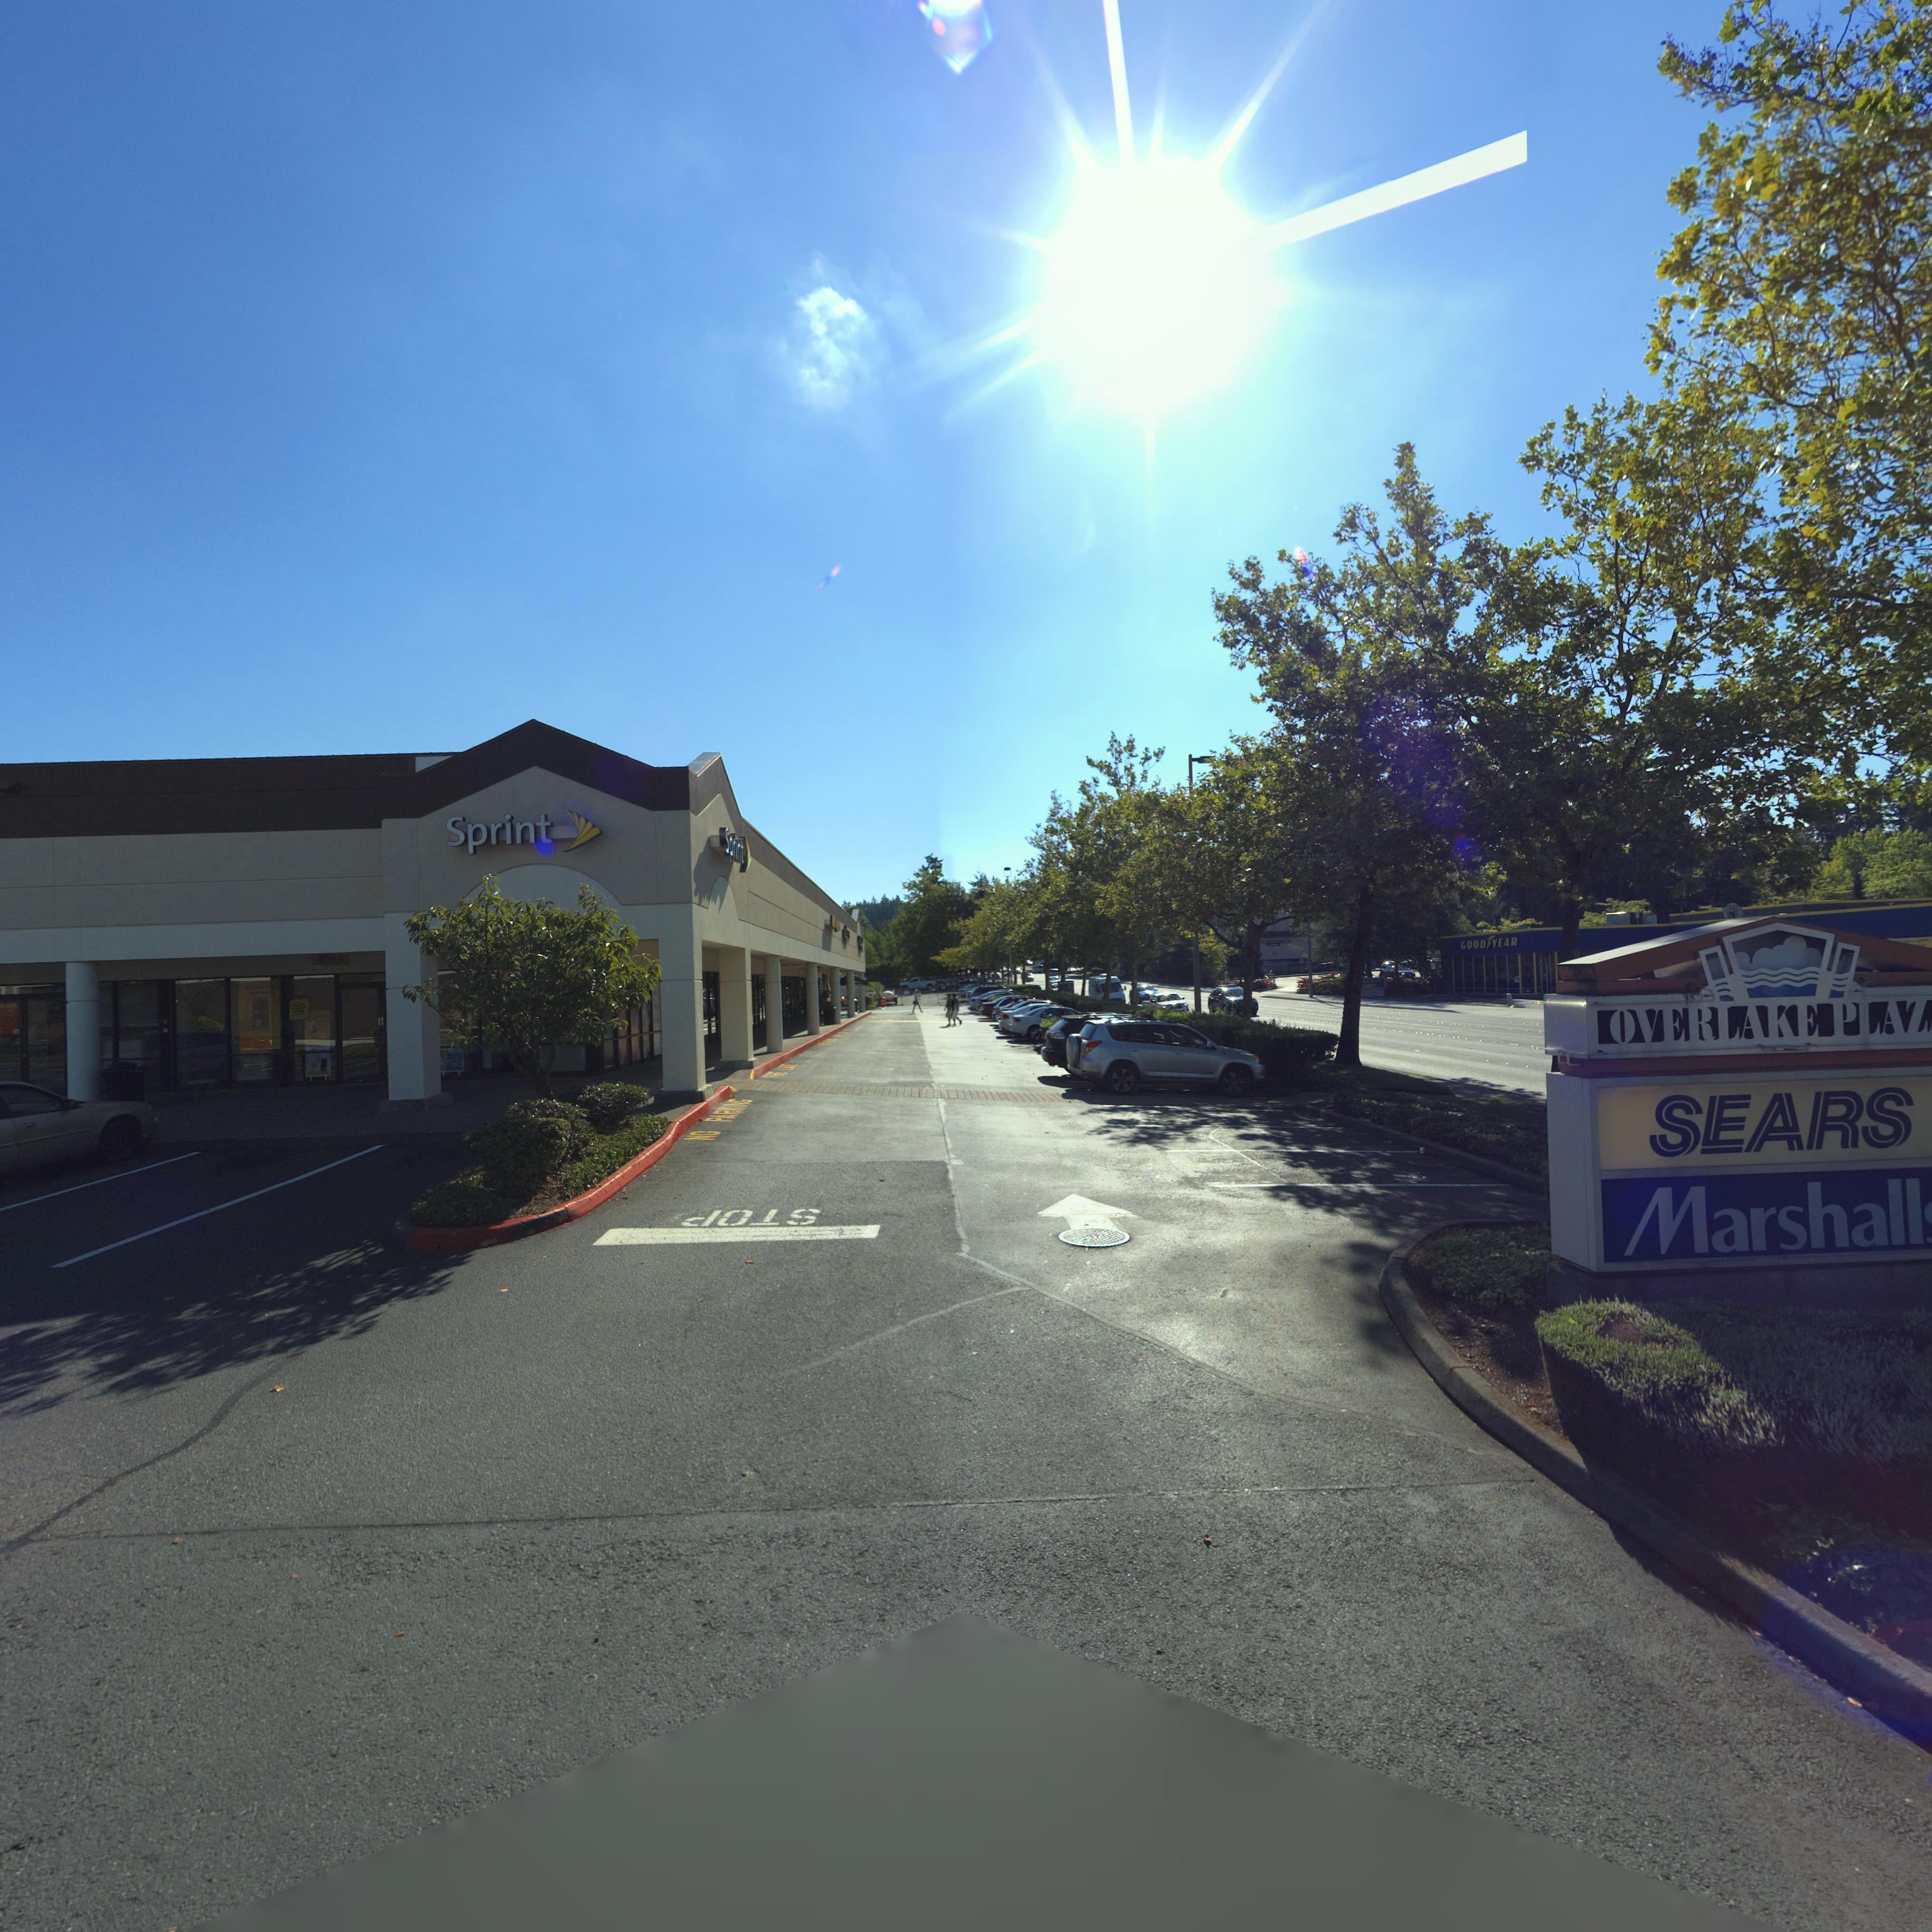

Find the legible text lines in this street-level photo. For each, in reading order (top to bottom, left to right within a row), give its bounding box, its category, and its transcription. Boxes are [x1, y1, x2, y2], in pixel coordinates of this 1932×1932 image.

[445, 810, 554, 858] BusinessName: Sprint
[1645, 1085, 1914, 1158] BusinessName: SEARS
[1618, 1173, 1924, 1264] BusinessName: Marshall